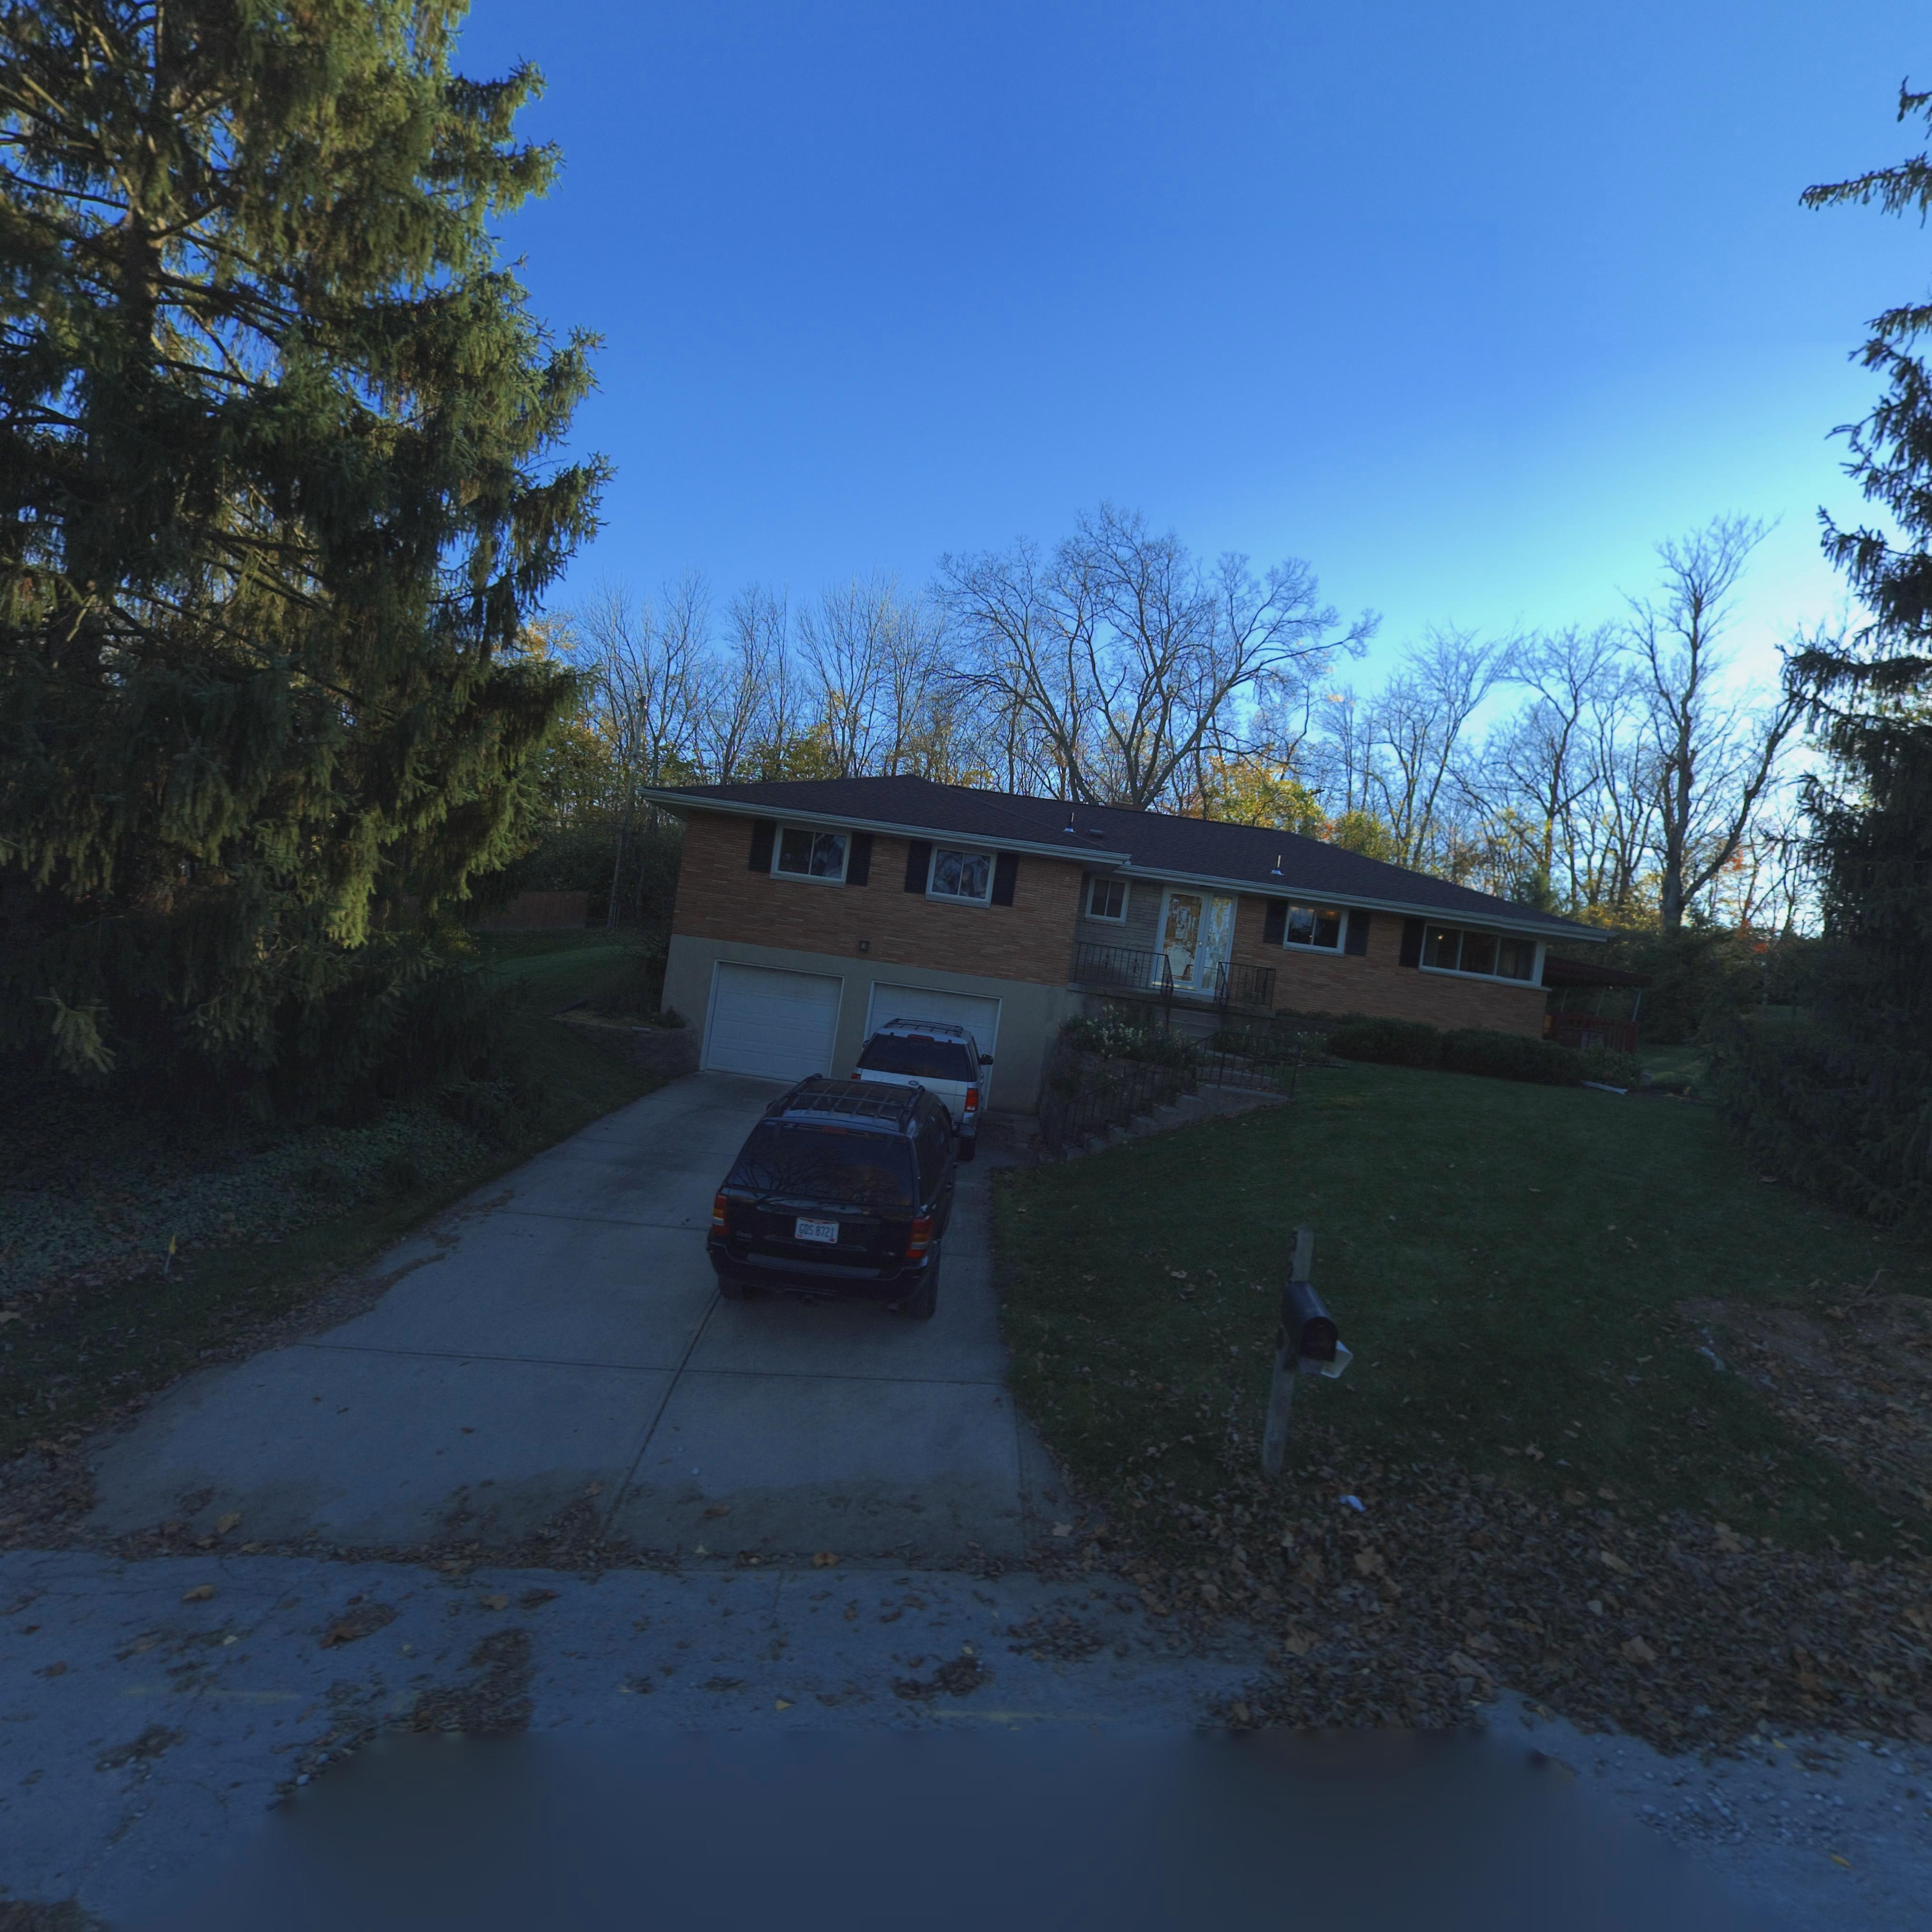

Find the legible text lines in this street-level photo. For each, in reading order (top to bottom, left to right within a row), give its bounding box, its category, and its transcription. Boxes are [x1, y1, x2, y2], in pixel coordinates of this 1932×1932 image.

[1285, 1227, 1300, 1255] StreetNumber: 5